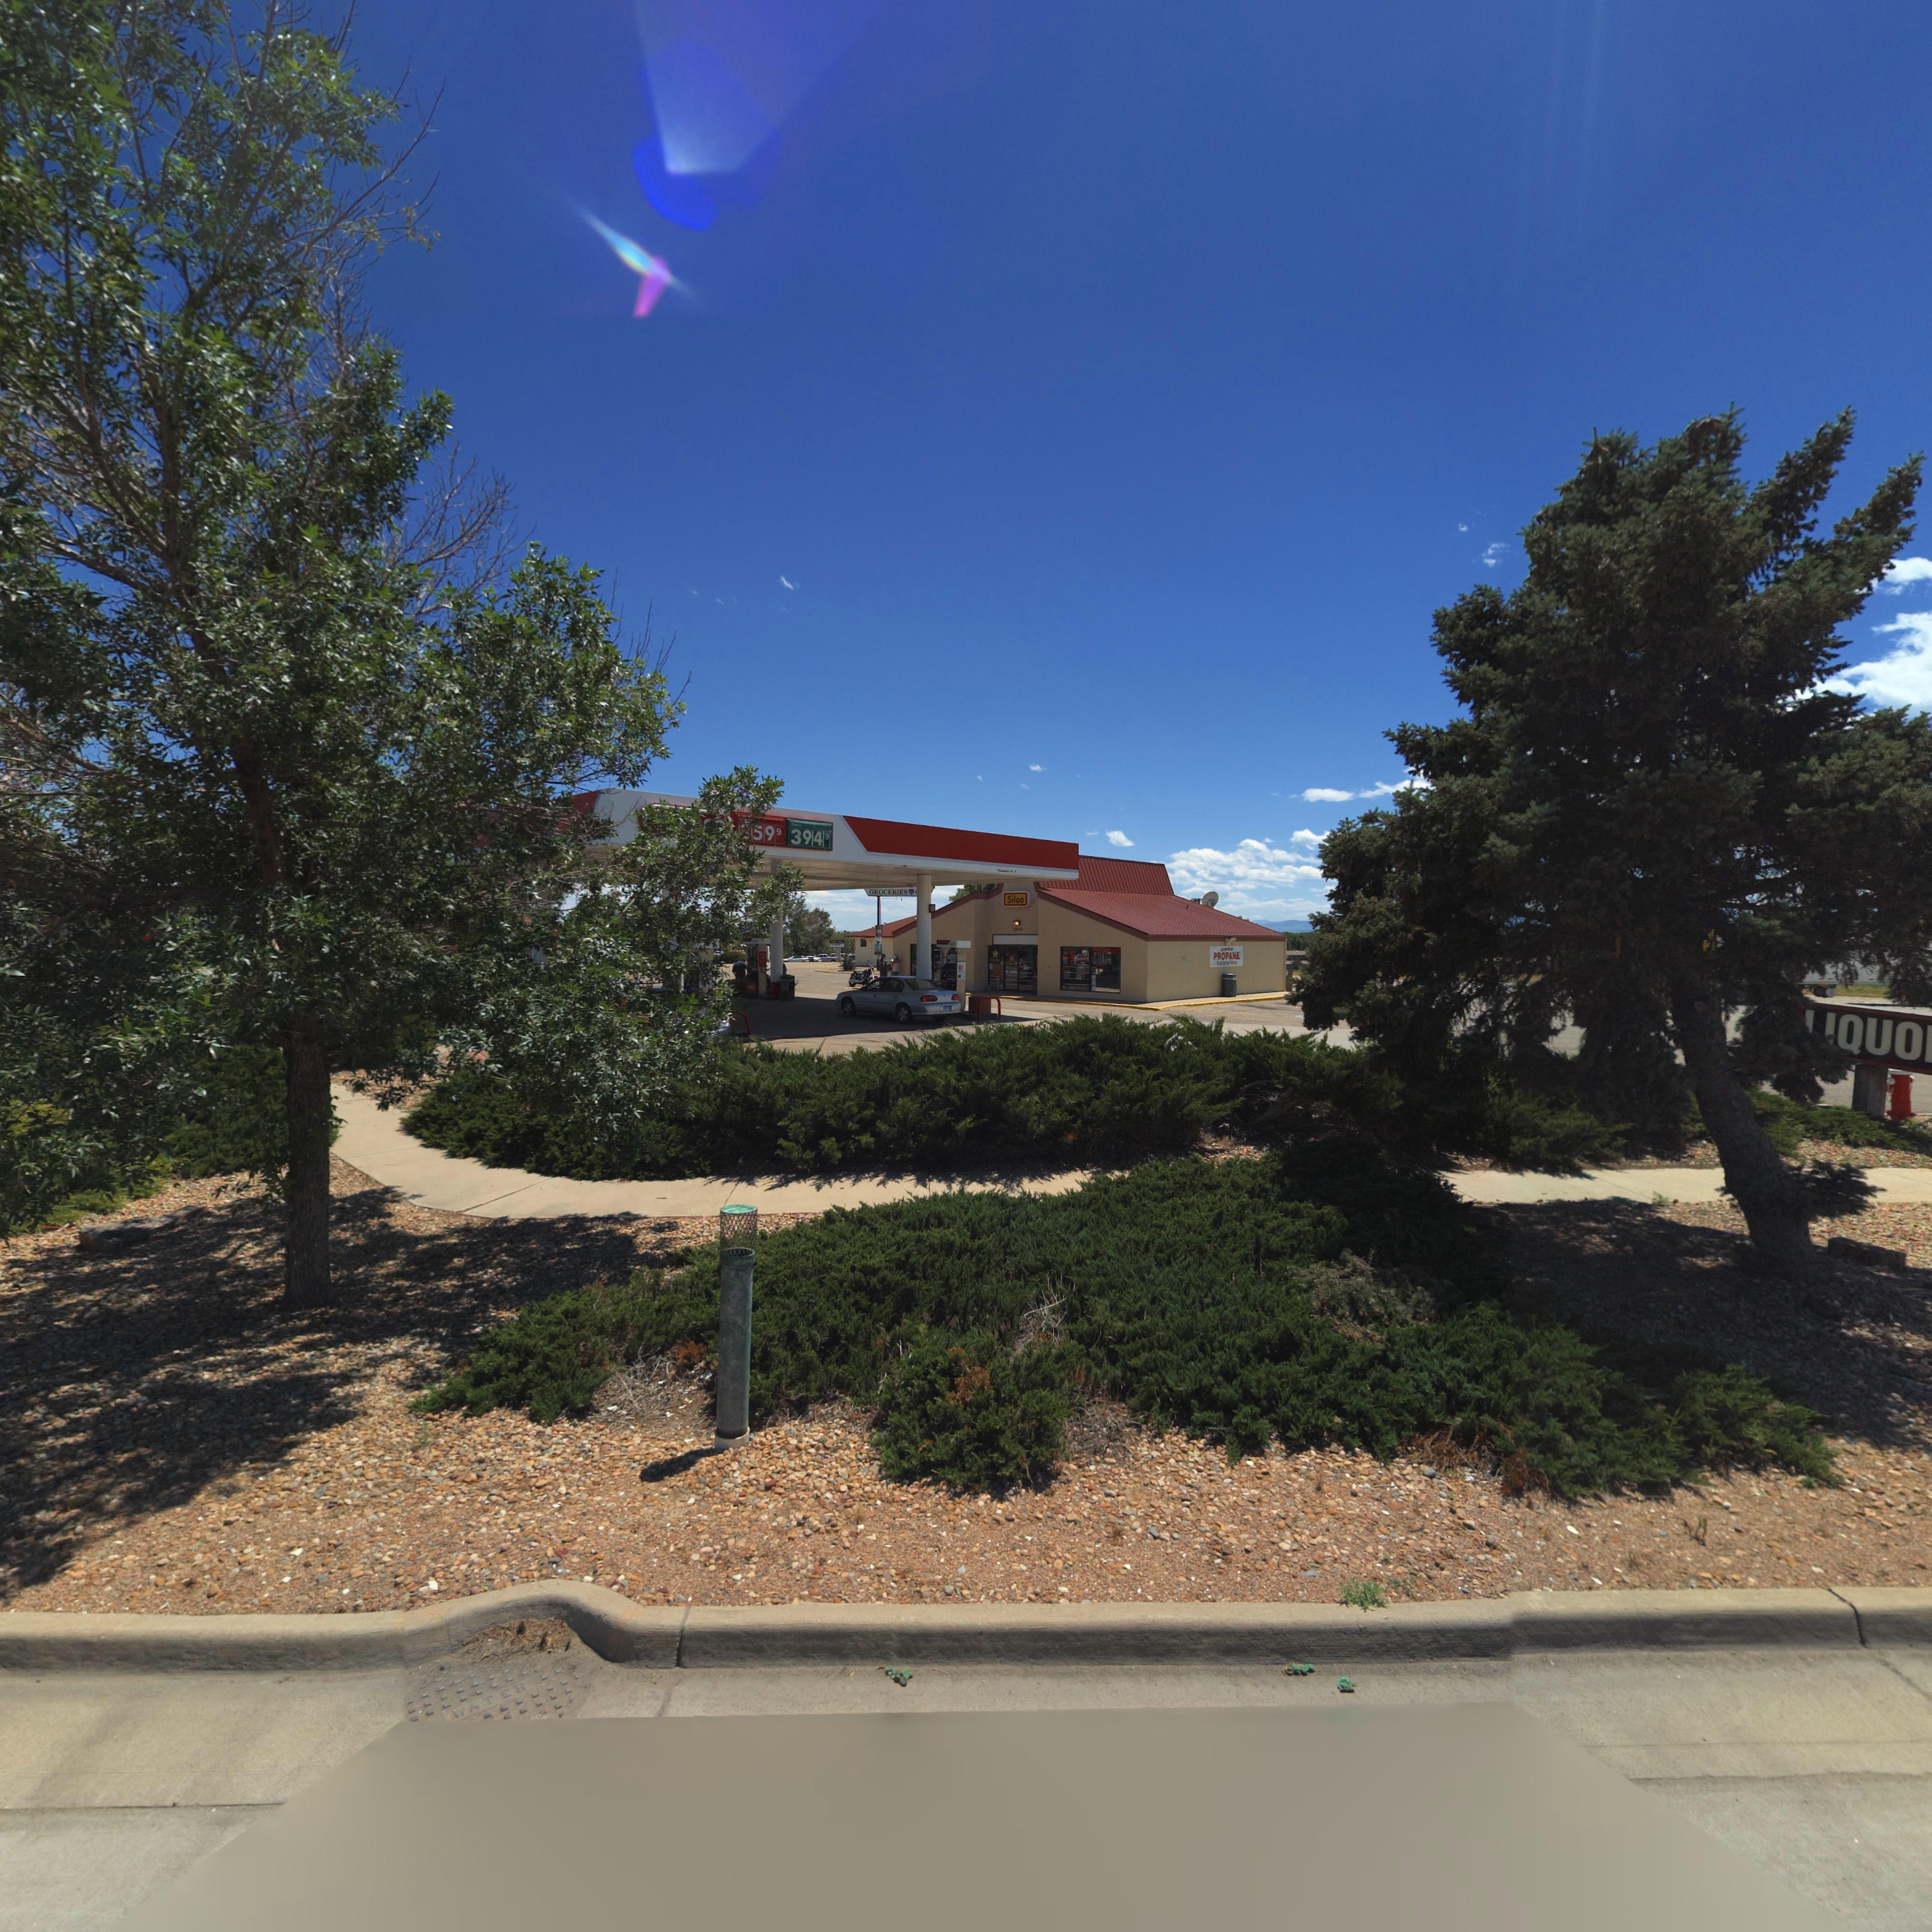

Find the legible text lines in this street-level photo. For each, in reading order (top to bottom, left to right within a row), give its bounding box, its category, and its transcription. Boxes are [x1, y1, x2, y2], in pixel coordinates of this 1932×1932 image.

[1007, 895, 1024, 903] BusinessName: Silco
[1014, 927, 1023, 931] StreetNumber: *44*